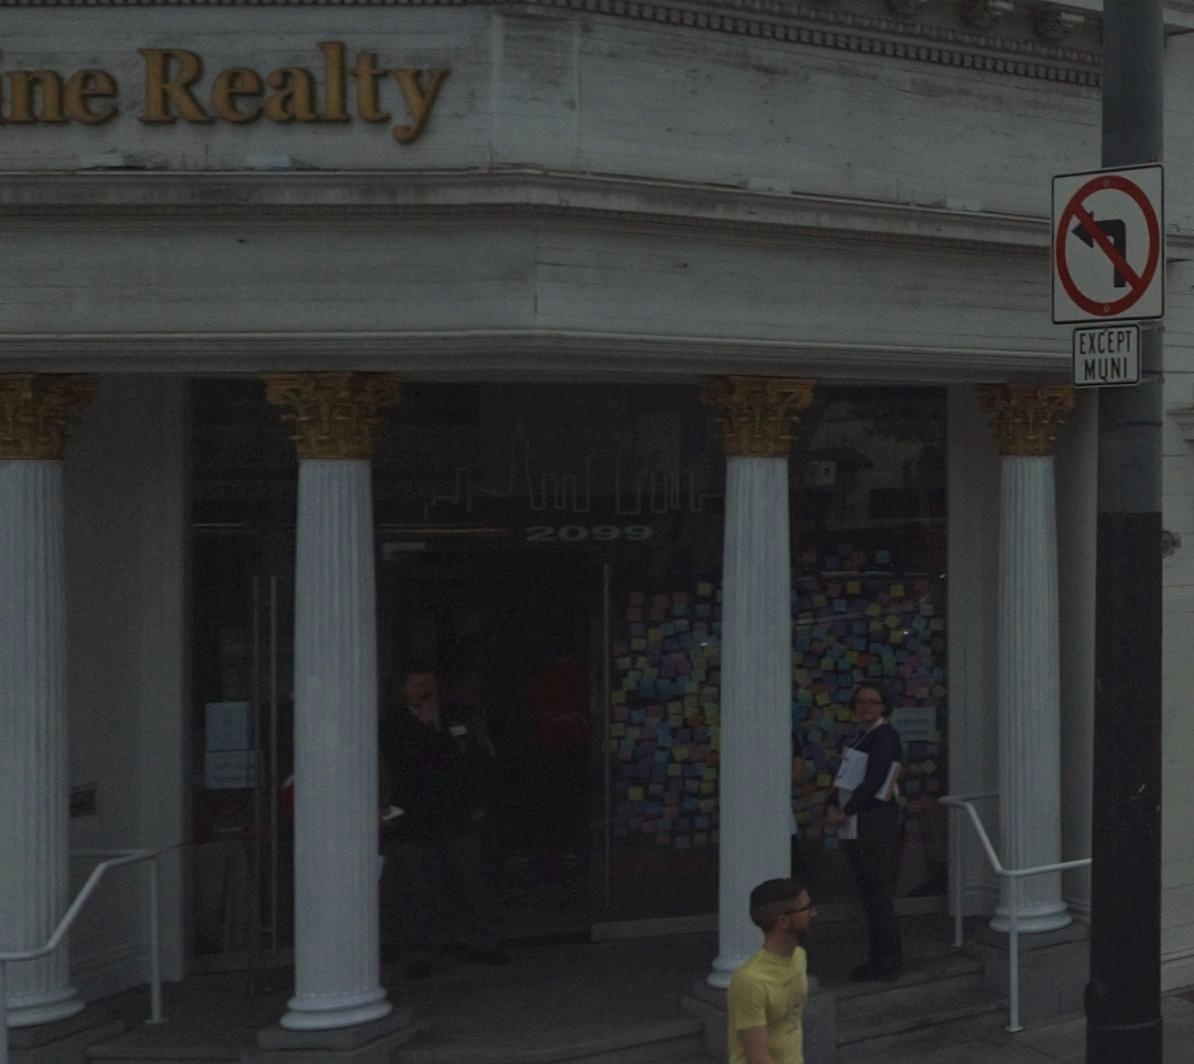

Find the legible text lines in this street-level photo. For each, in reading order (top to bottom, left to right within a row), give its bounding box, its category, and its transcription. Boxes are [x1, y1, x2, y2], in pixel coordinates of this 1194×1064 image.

[5, 37, 456, 146] BusinessName: ne Realty
[1076, 326, 1136, 358] None: EXCEPT
[1081, 354, 1130, 384] None: MUNI
[522, 522, 655, 545] StreetNumber: 2099